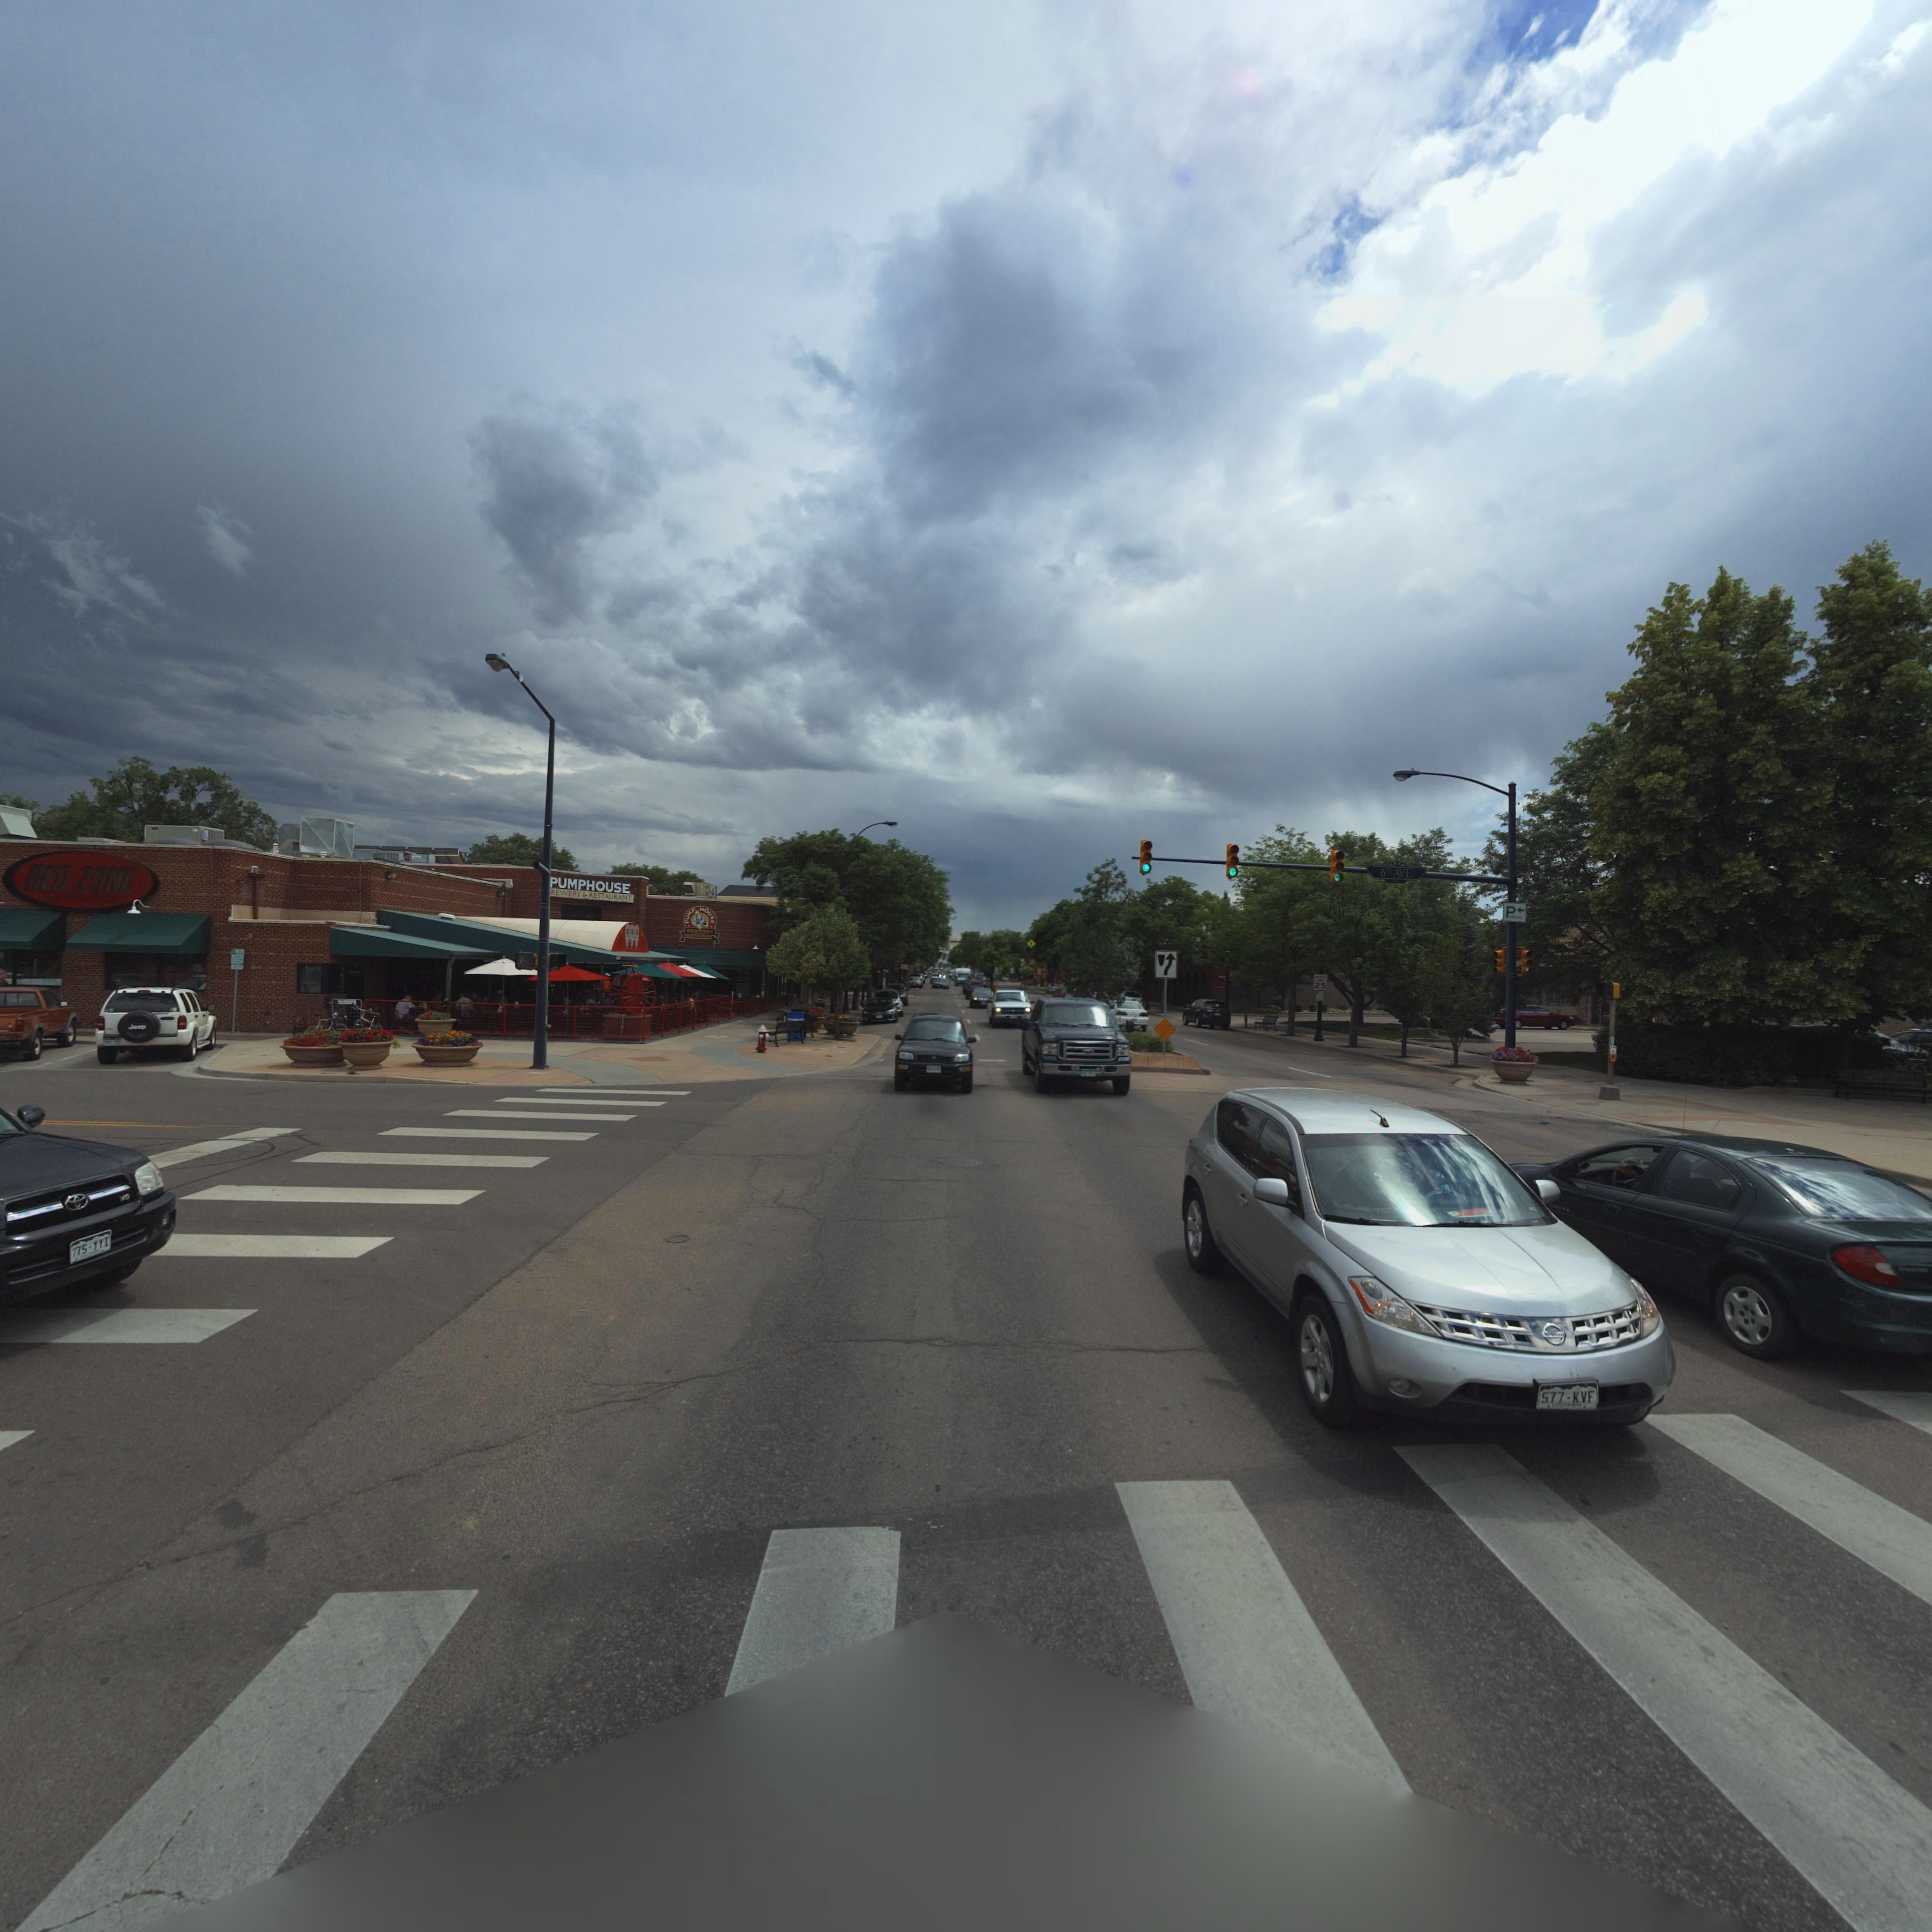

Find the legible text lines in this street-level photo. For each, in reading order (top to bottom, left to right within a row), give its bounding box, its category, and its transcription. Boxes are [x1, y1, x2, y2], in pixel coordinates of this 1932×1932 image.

[21, 862, 139, 896] BusinessName: RED ZONE
[550, 876, 630, 894] StreetNumber: PUMPHOUSE
[1380, 867, 1412, 879] StreetName: 6TH AVE
[551, 889, 632, 901] BusinessName: REWERY & RESTAURANT
[684, 907, 715, 924] BusinessName: PUMP HOUSE